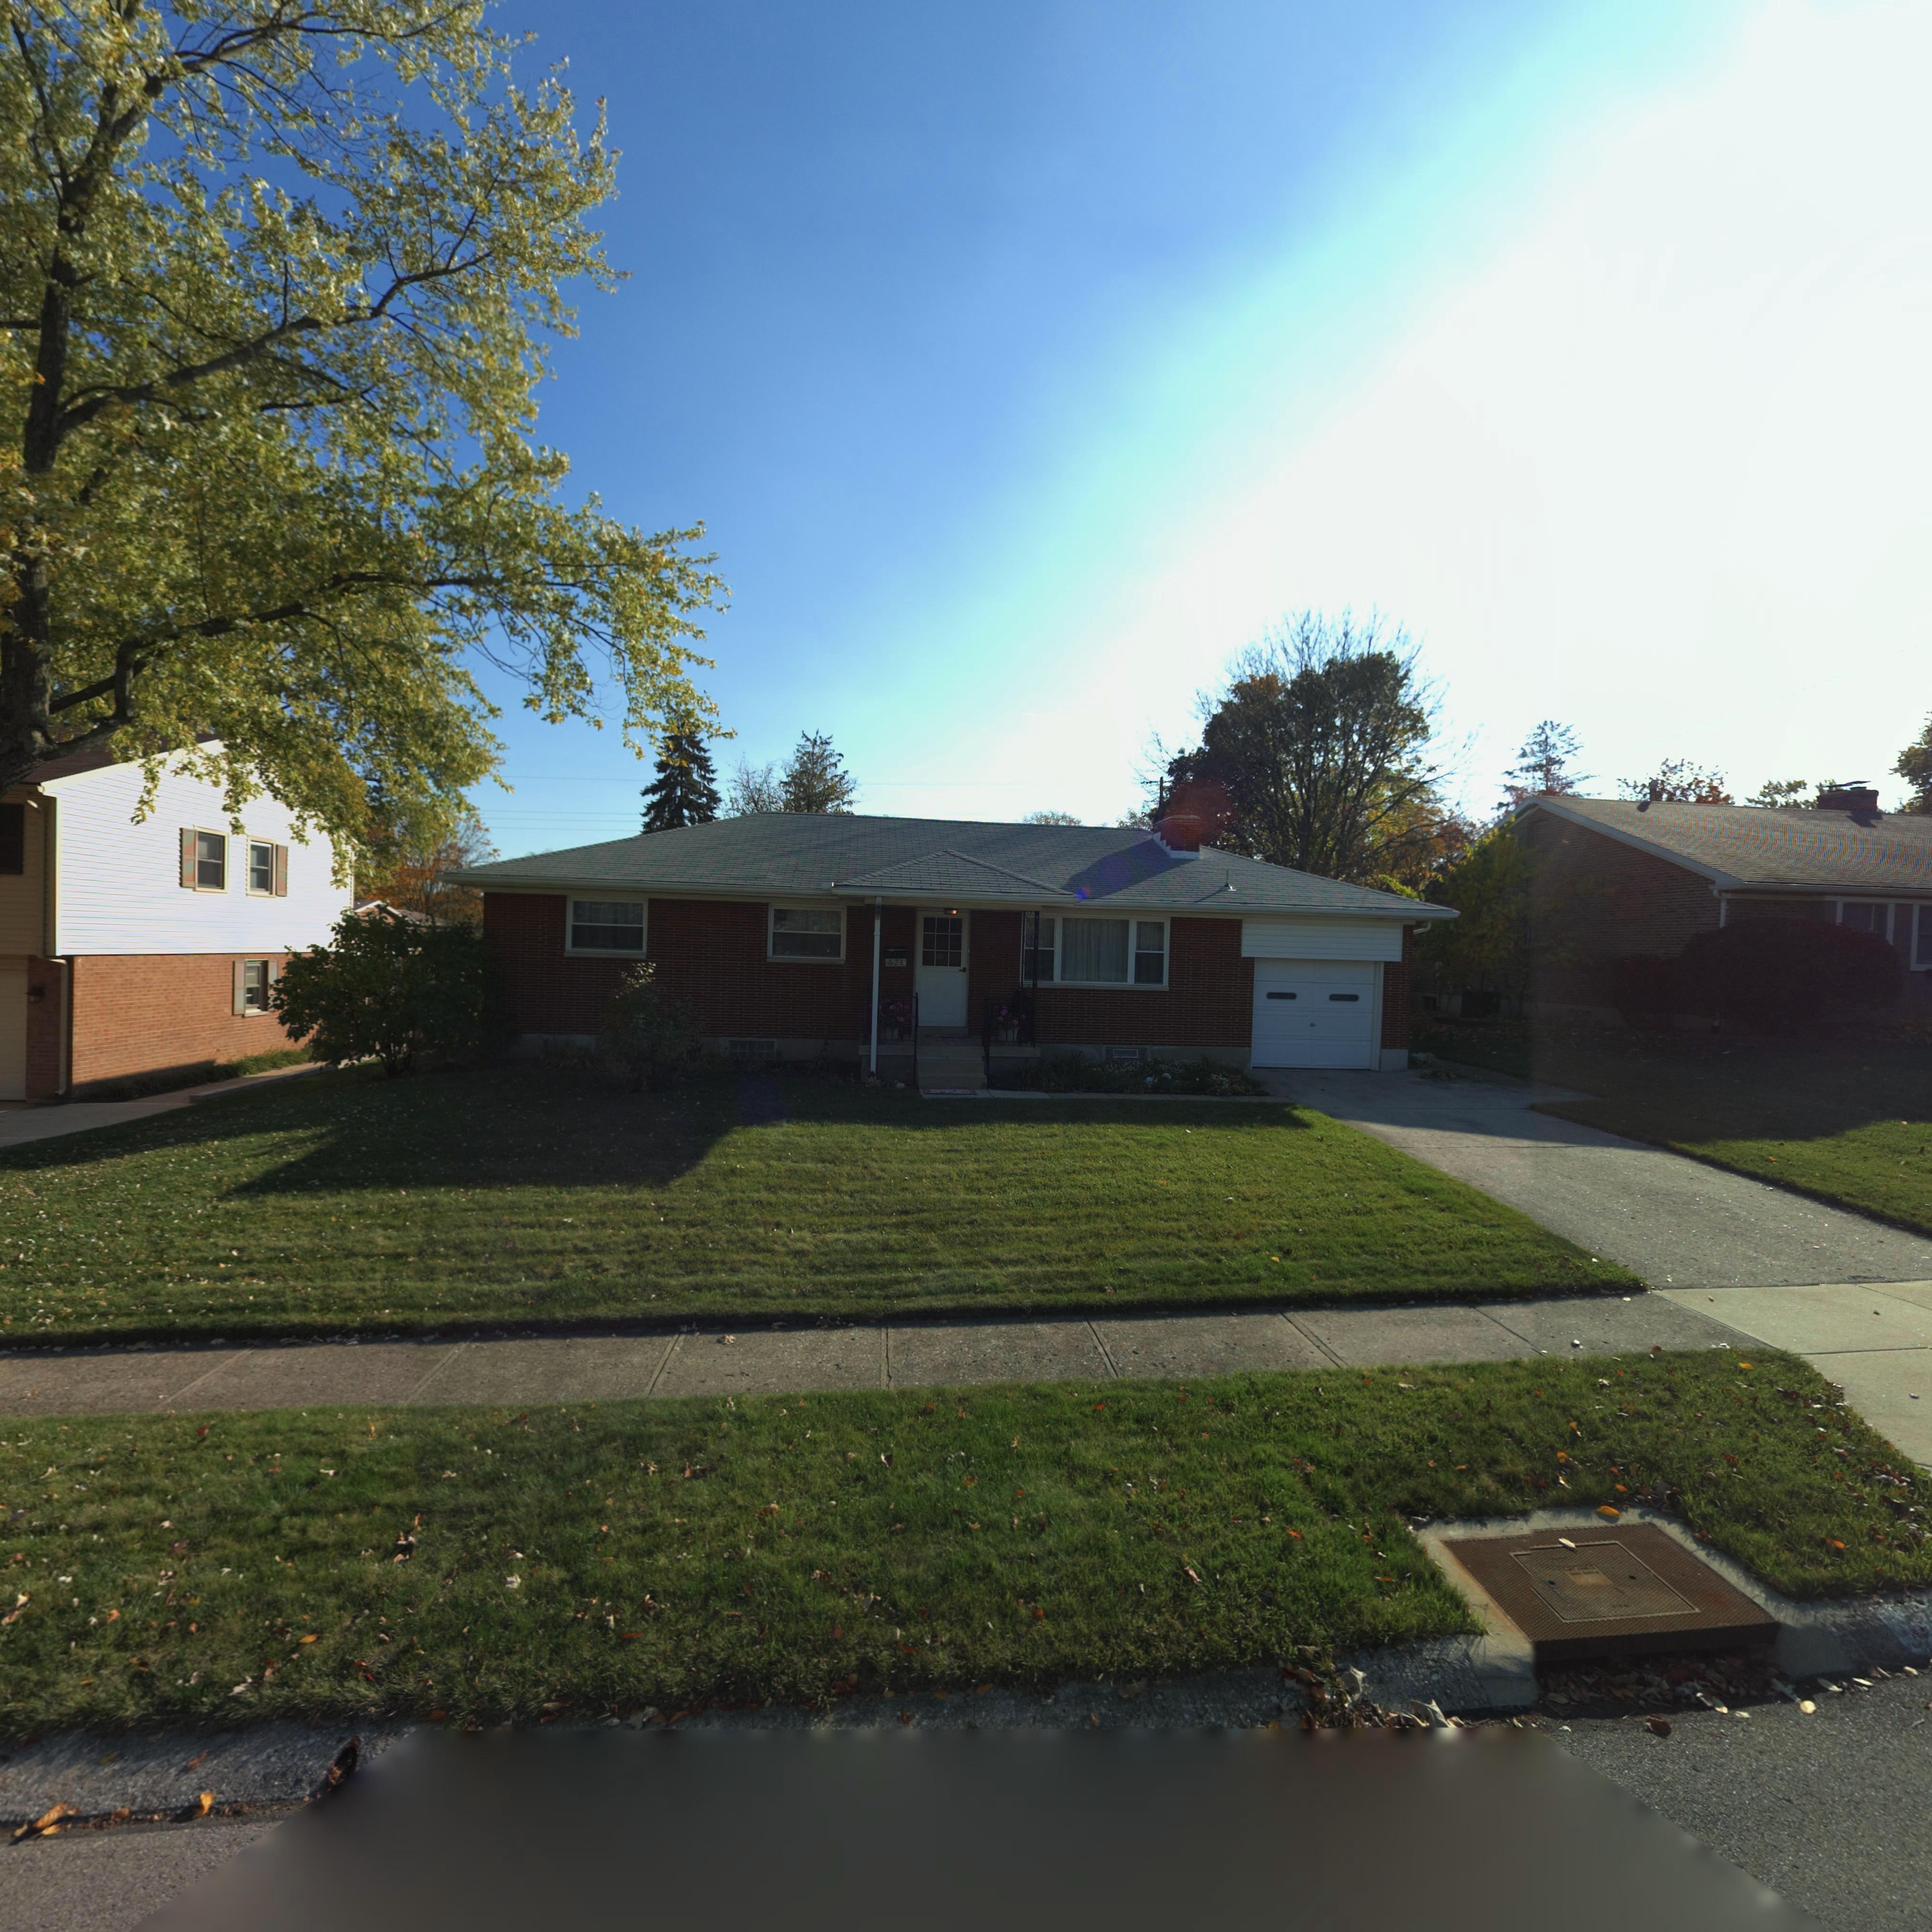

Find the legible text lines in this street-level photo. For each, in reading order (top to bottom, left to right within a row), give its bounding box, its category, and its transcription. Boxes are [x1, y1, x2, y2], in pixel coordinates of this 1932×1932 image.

[888, 958, 904, 966] StreetNumber: 624